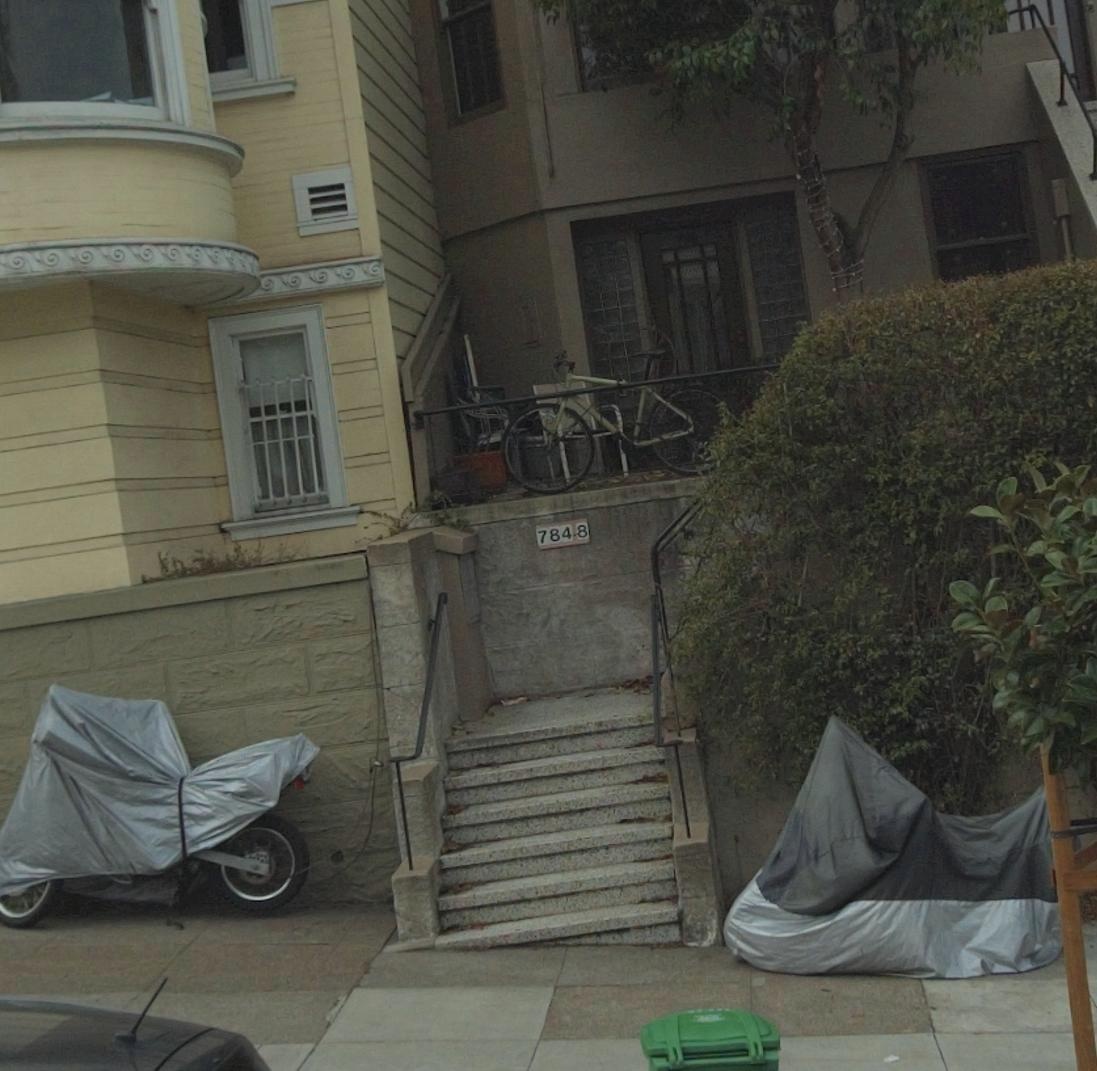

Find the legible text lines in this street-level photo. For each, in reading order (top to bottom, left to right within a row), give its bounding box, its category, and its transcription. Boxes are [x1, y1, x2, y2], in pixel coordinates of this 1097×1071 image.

[536, 523, 589, 546] StreetNumber: 7848